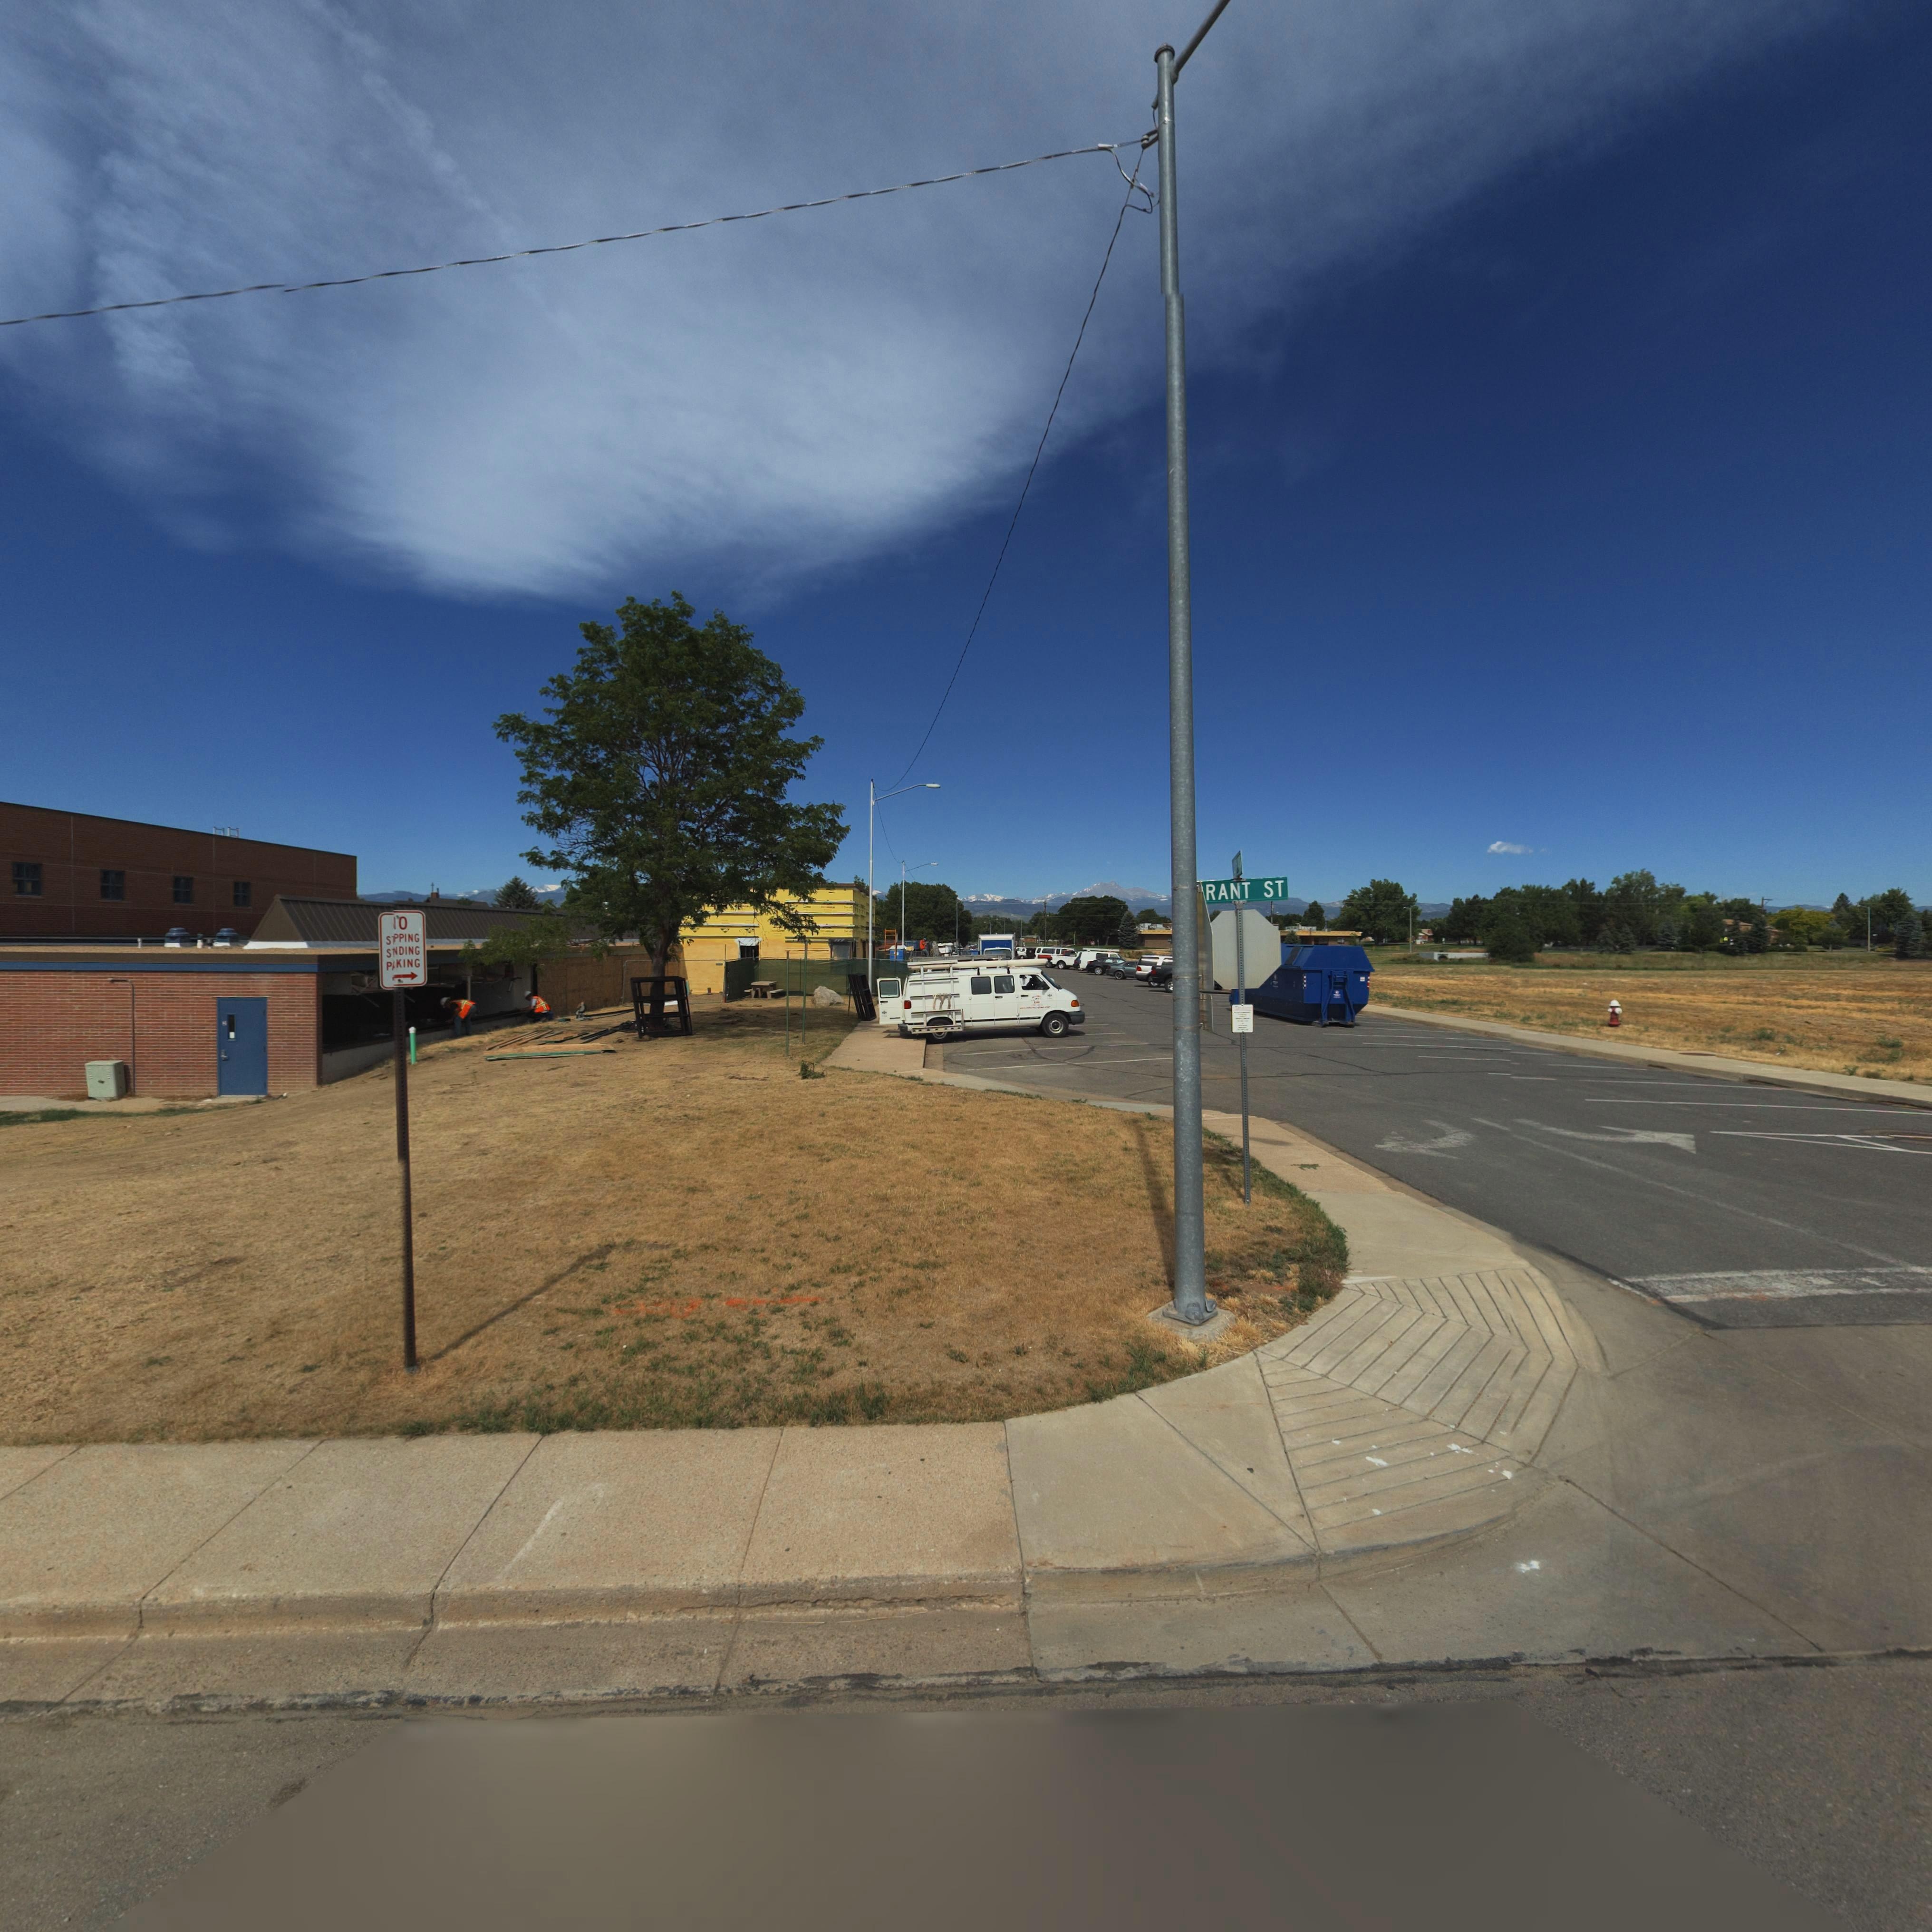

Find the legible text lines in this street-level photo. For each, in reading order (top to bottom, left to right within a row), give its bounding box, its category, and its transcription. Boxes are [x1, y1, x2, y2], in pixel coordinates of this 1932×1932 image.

[1205, 880, 1285, 900] StreetName: RANT ST